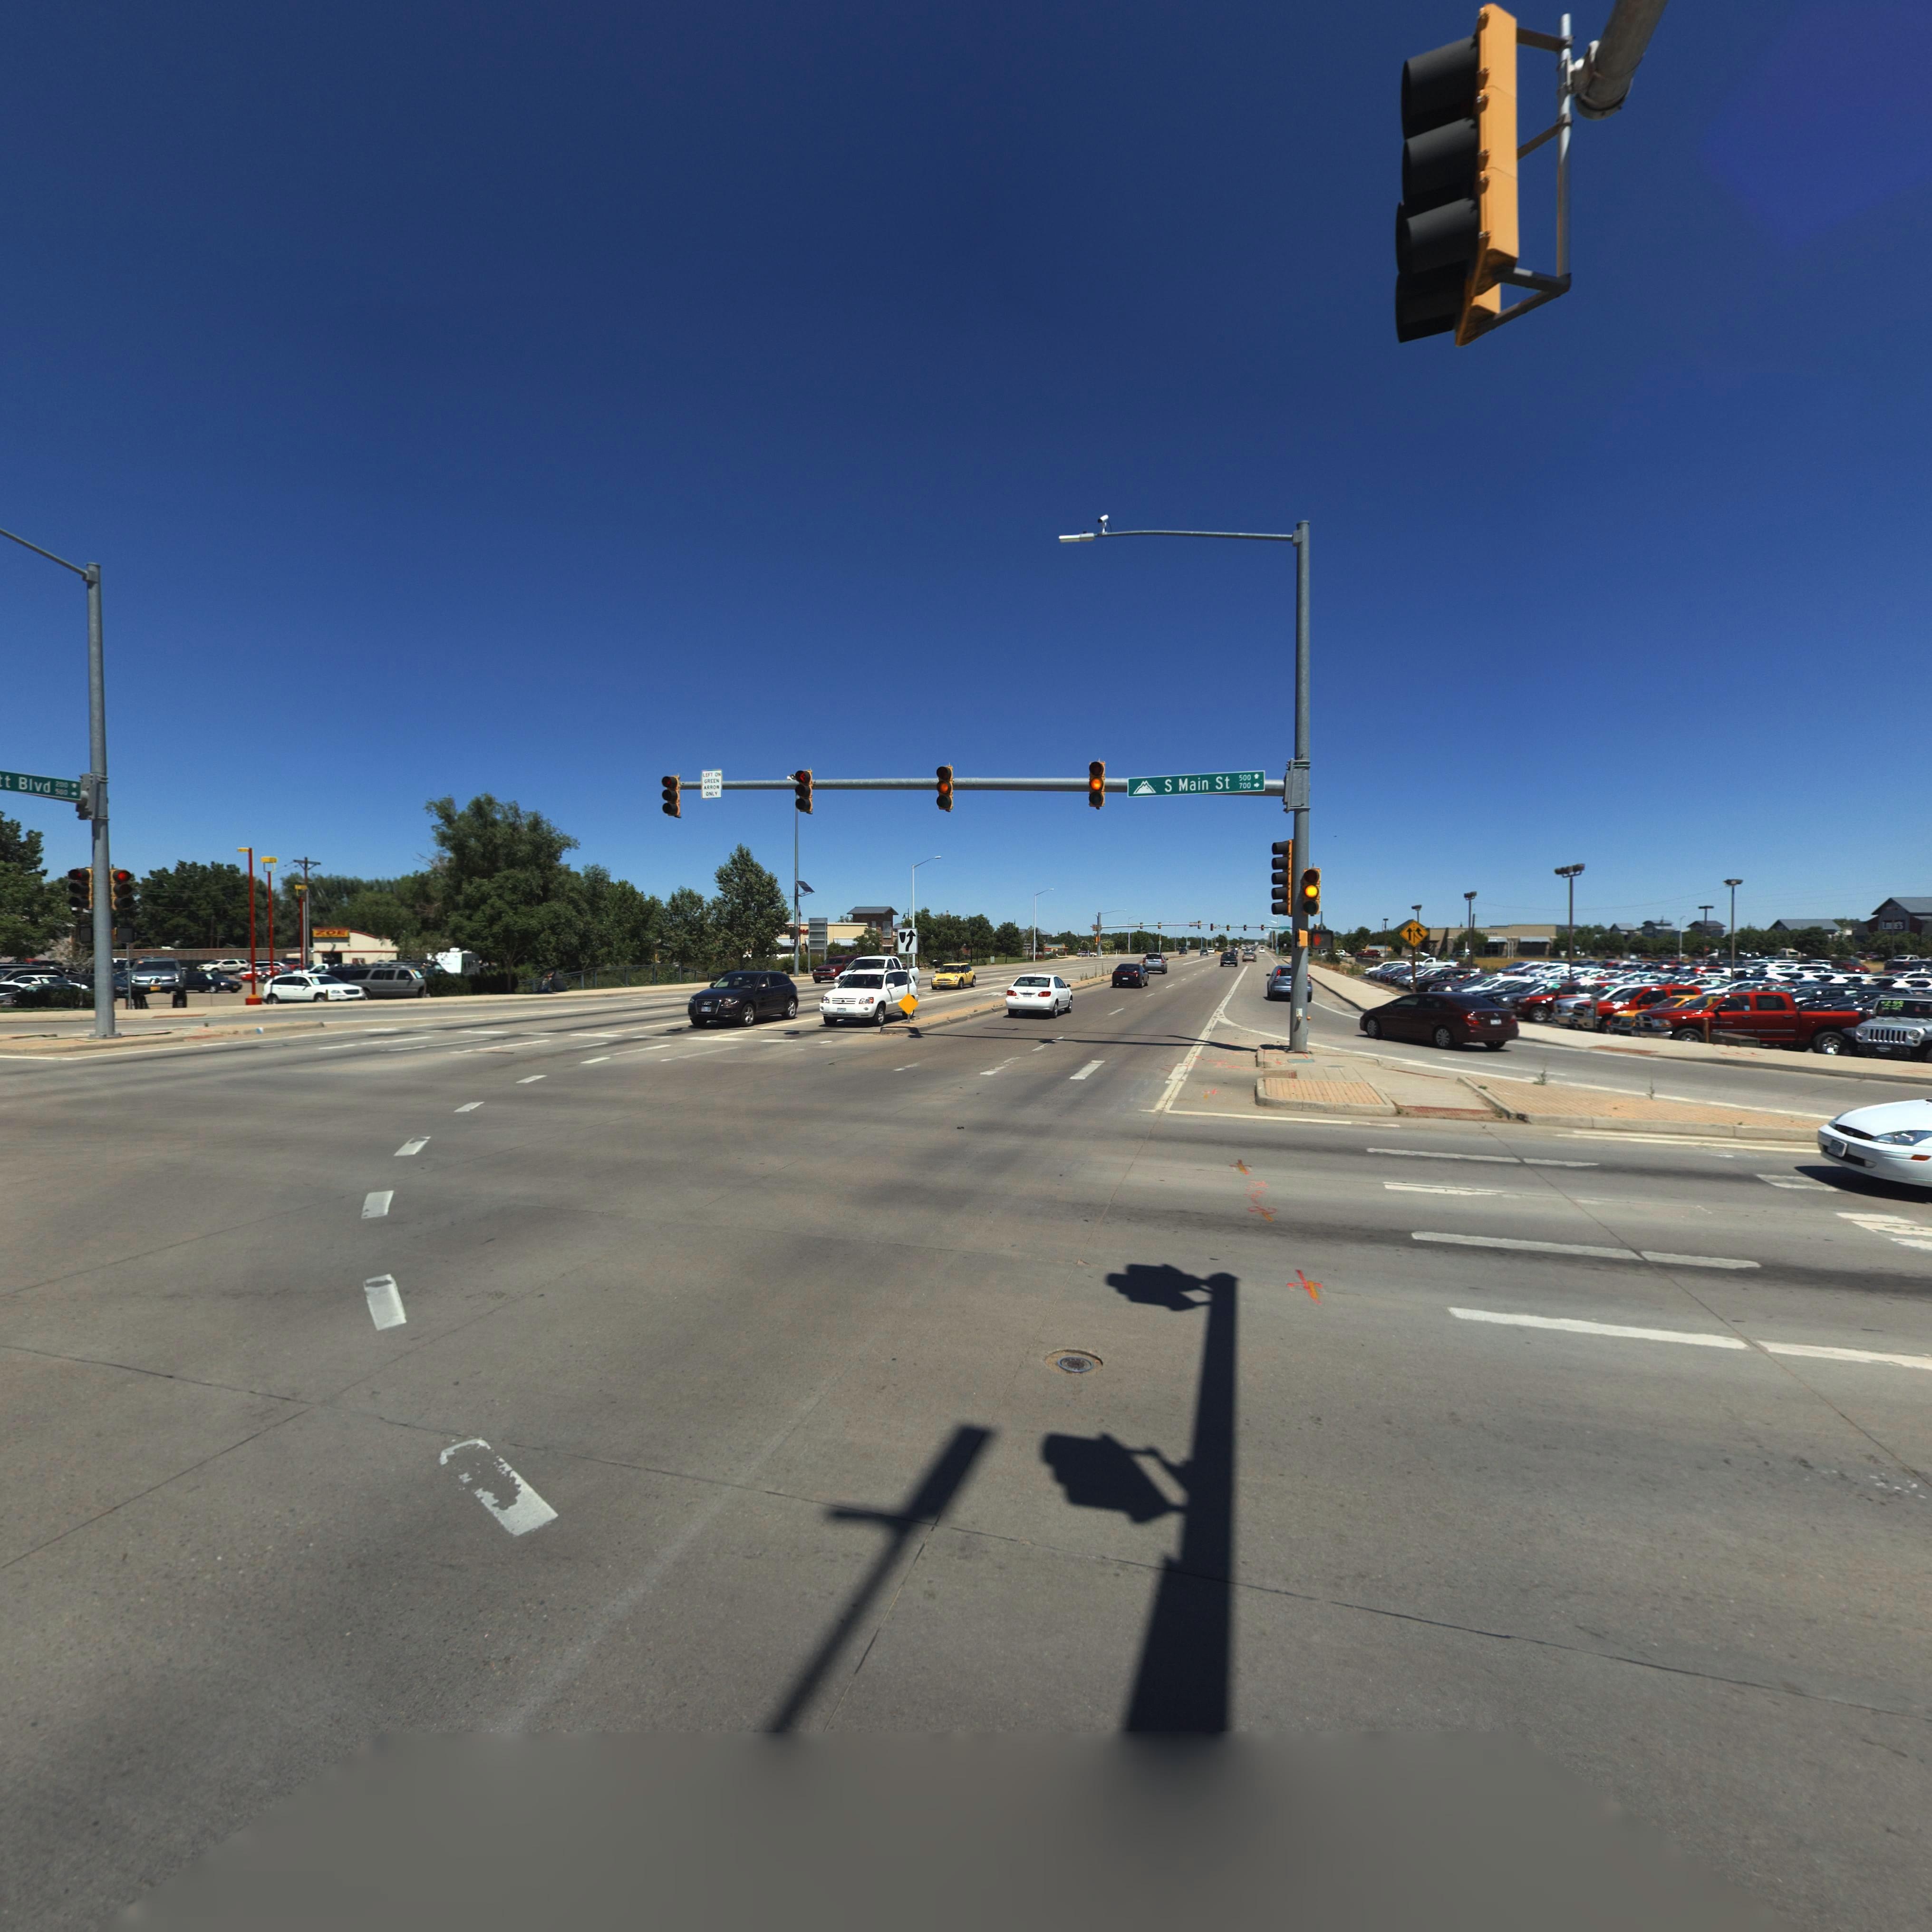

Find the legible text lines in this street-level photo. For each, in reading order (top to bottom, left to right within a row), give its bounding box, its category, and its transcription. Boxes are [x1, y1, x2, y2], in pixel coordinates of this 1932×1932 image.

[1238, 774, 1251, 781] StreetNumberRange: 500
[4, 774, 52, 794] StreetName: t Blvd
[55, 780, 69, 789] StreetNumberRange: 200
[1163, 775, 1231, 793] StreetName: S Main St
[1238, 782, 1260, 789] StreetNumberRange: 700 ->
[54, 787, 78, 797] StreetNumberRange: 500 ->
[1882, 921, 1903, 929] BusinessName: LO*ES
[315, 929, 346, 935] BusinessName: ZOE